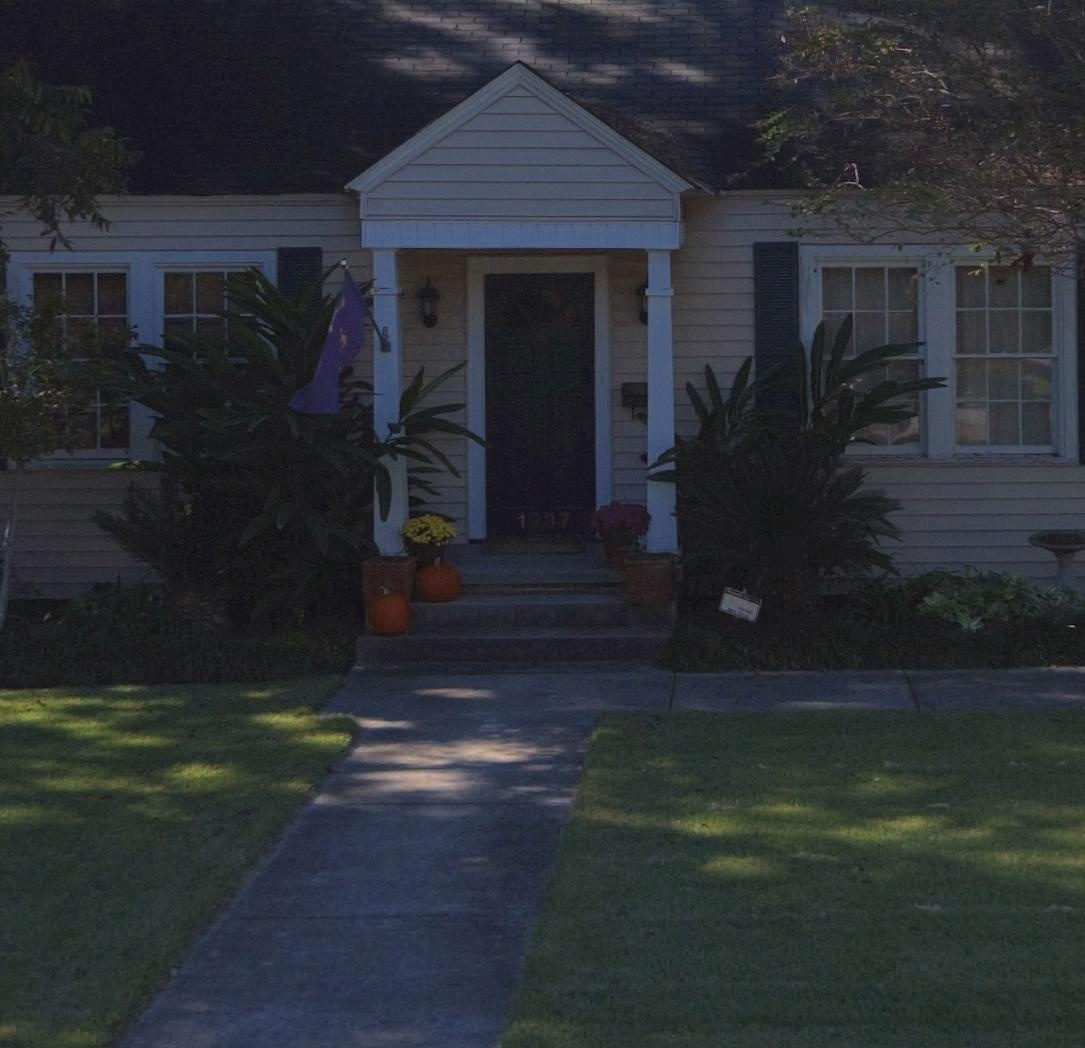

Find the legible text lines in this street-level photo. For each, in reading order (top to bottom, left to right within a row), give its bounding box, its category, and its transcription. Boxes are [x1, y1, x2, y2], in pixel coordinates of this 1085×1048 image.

[516, 510, 572, 530] StreetNumber: 1937